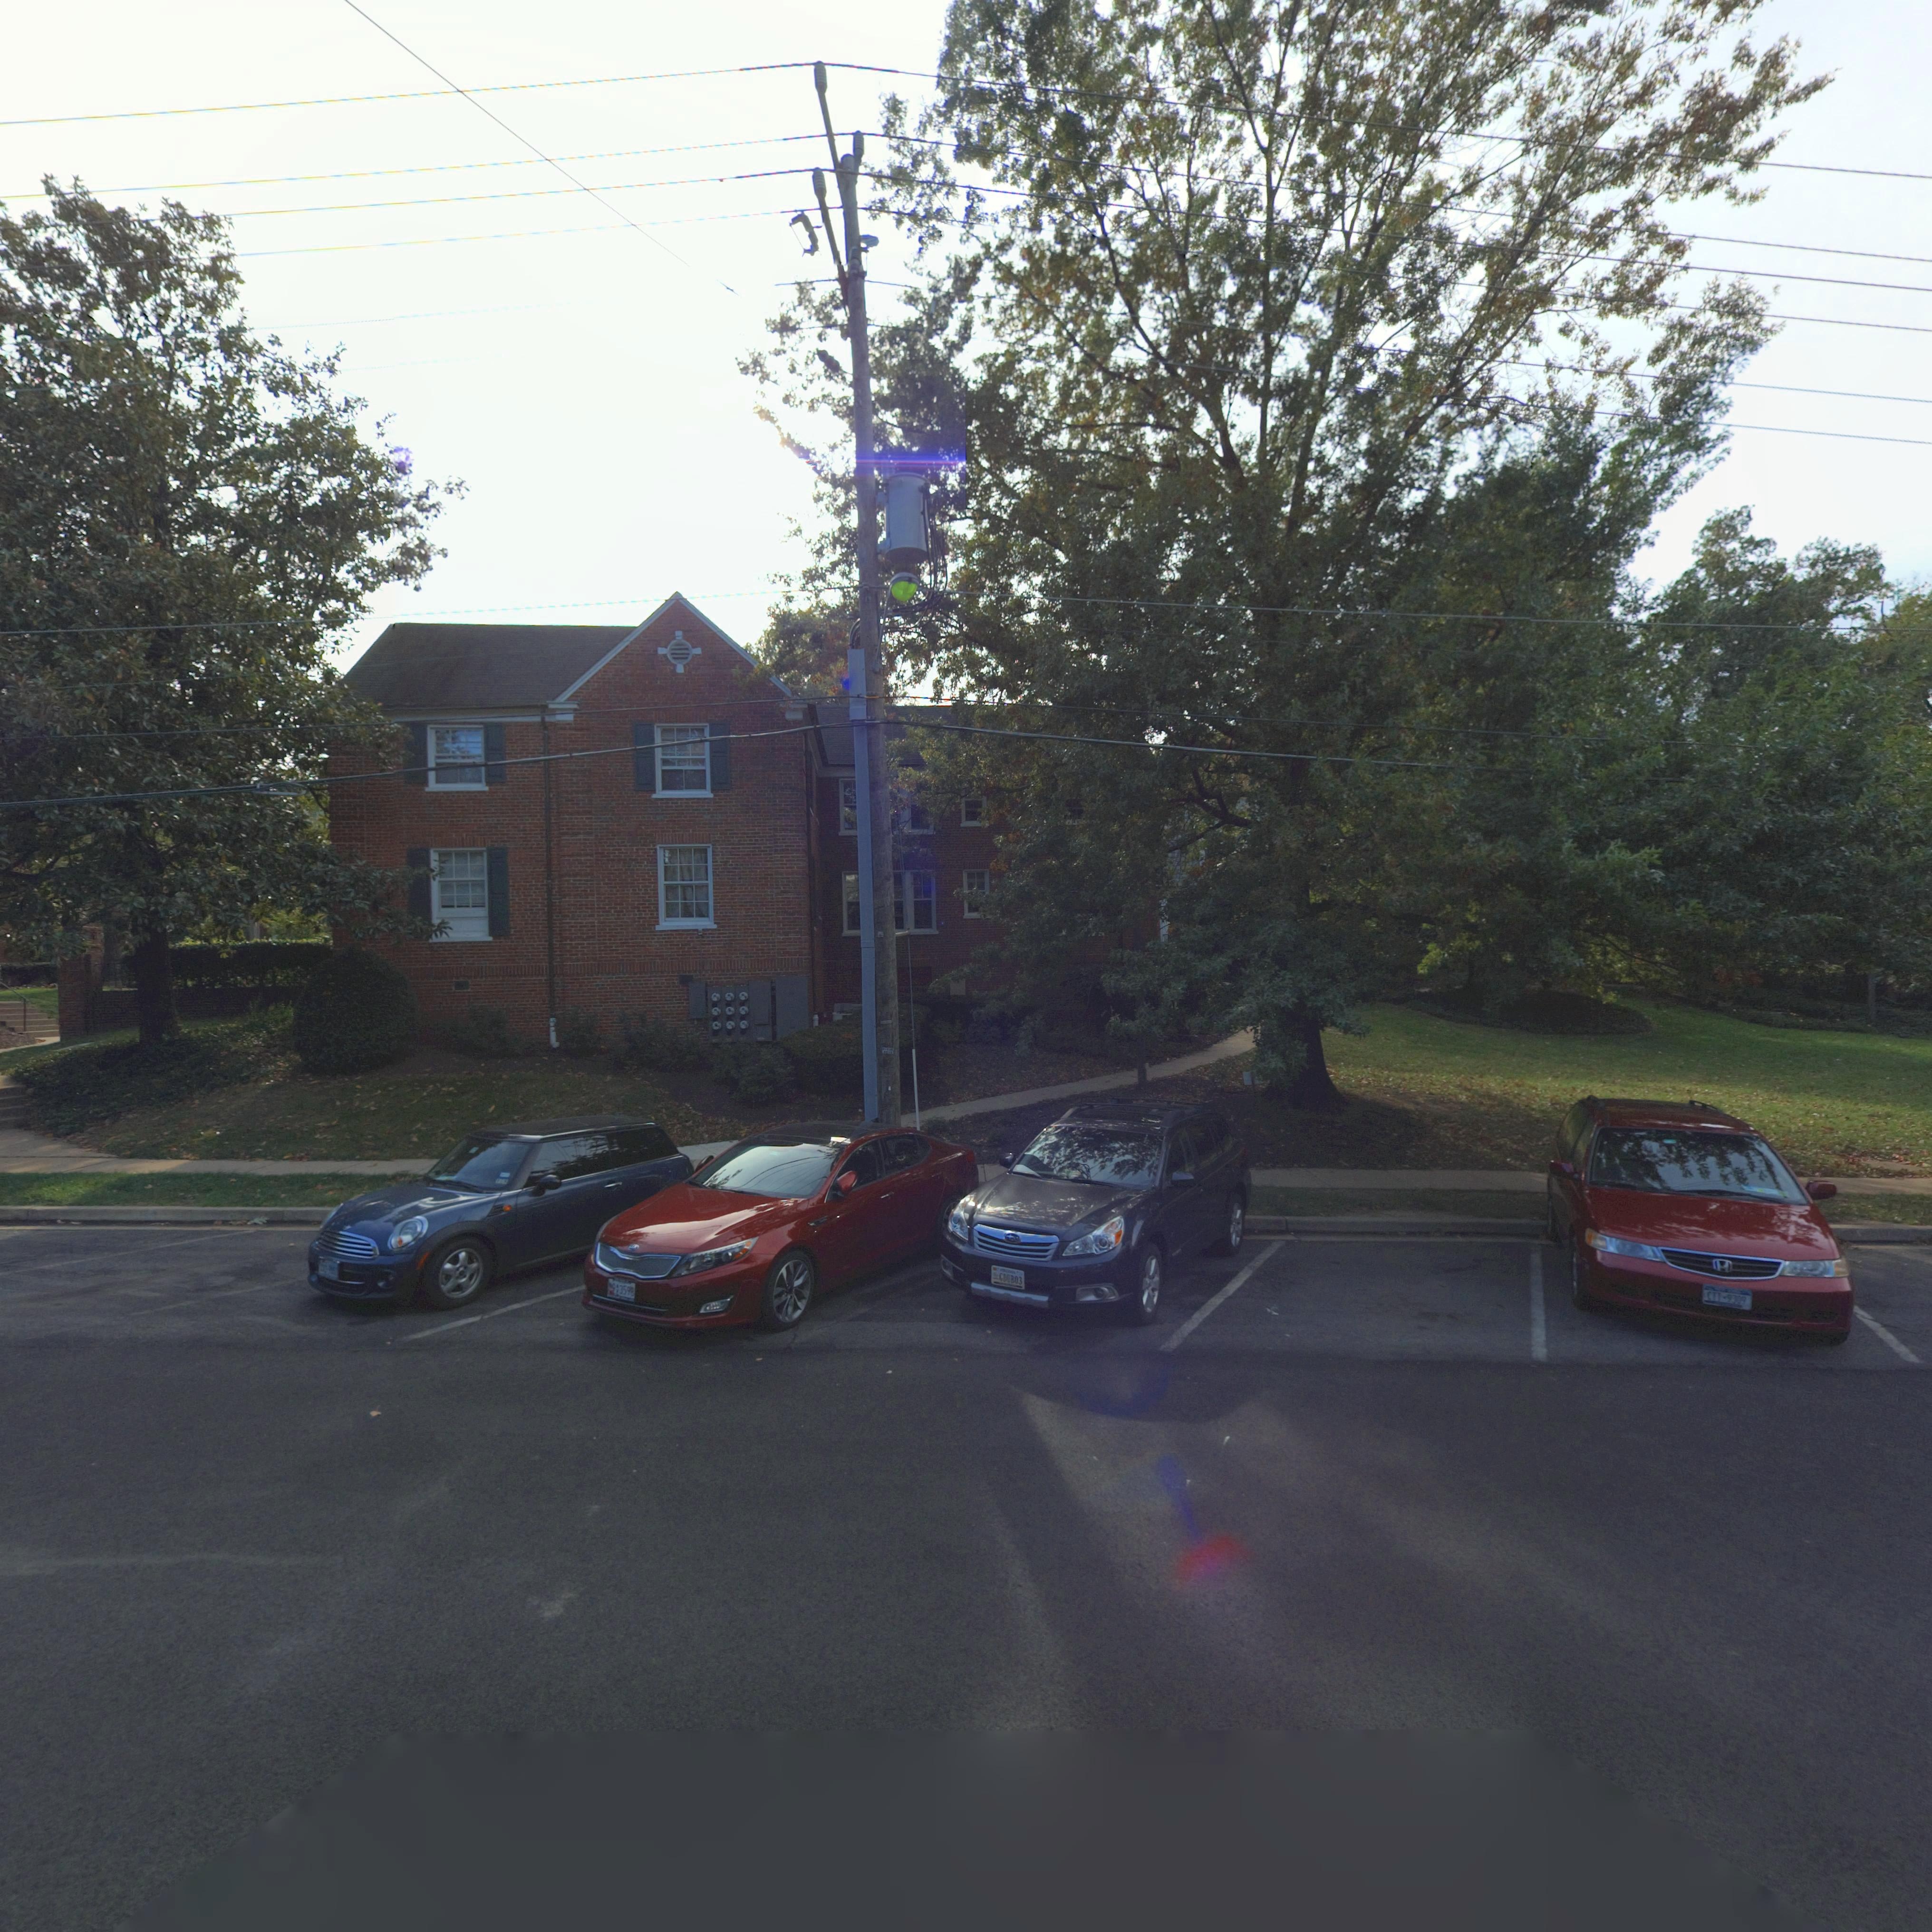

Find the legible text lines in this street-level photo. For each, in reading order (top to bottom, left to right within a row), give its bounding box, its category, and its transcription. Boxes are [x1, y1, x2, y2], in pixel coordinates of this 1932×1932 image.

[999, 1272, 1023, 1286] None: GDUB03
[611, 1282, 616, 1293] None: 9
[619, 1284, 634, 1298] None: 3598
[1707, 1290, 1748, 1306] None: CTT*9309